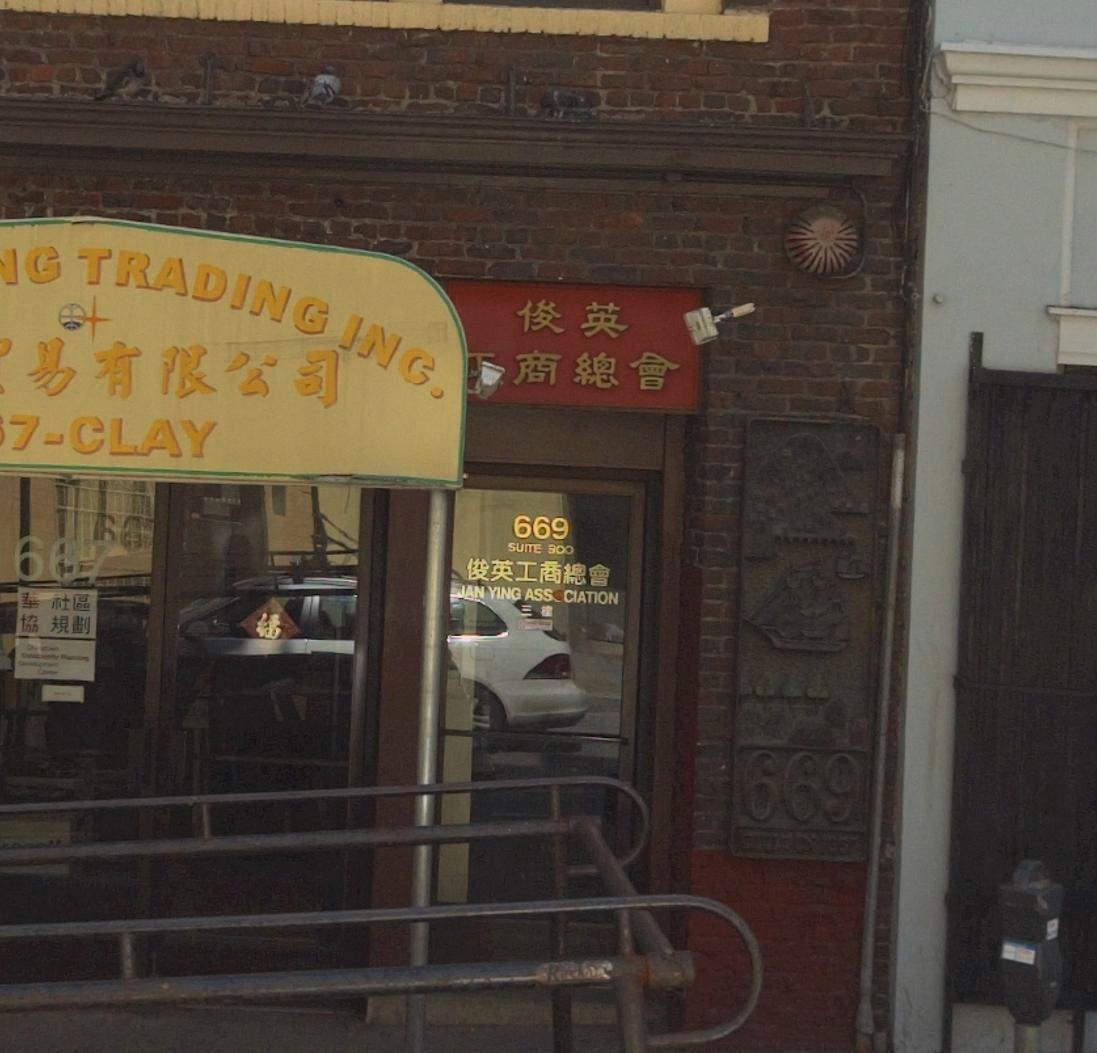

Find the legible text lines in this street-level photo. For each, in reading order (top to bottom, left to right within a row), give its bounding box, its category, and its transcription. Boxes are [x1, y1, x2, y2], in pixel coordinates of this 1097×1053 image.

[21, 243, 458, 403] BusinessName: G TRADING INC.
[5, 411, 222, 460] None: 7-CLAY
[8, 532, 122, 585] StreetNumber: 667
[506, 541, 575, 555] None: SUITE 300
[512, 513, 570, 542] StreetNumber: 669
[454, 583, 622, 606] None: JAN YING ASS*CIATION
[734, 747, 867, 826] StreetNumber: 669